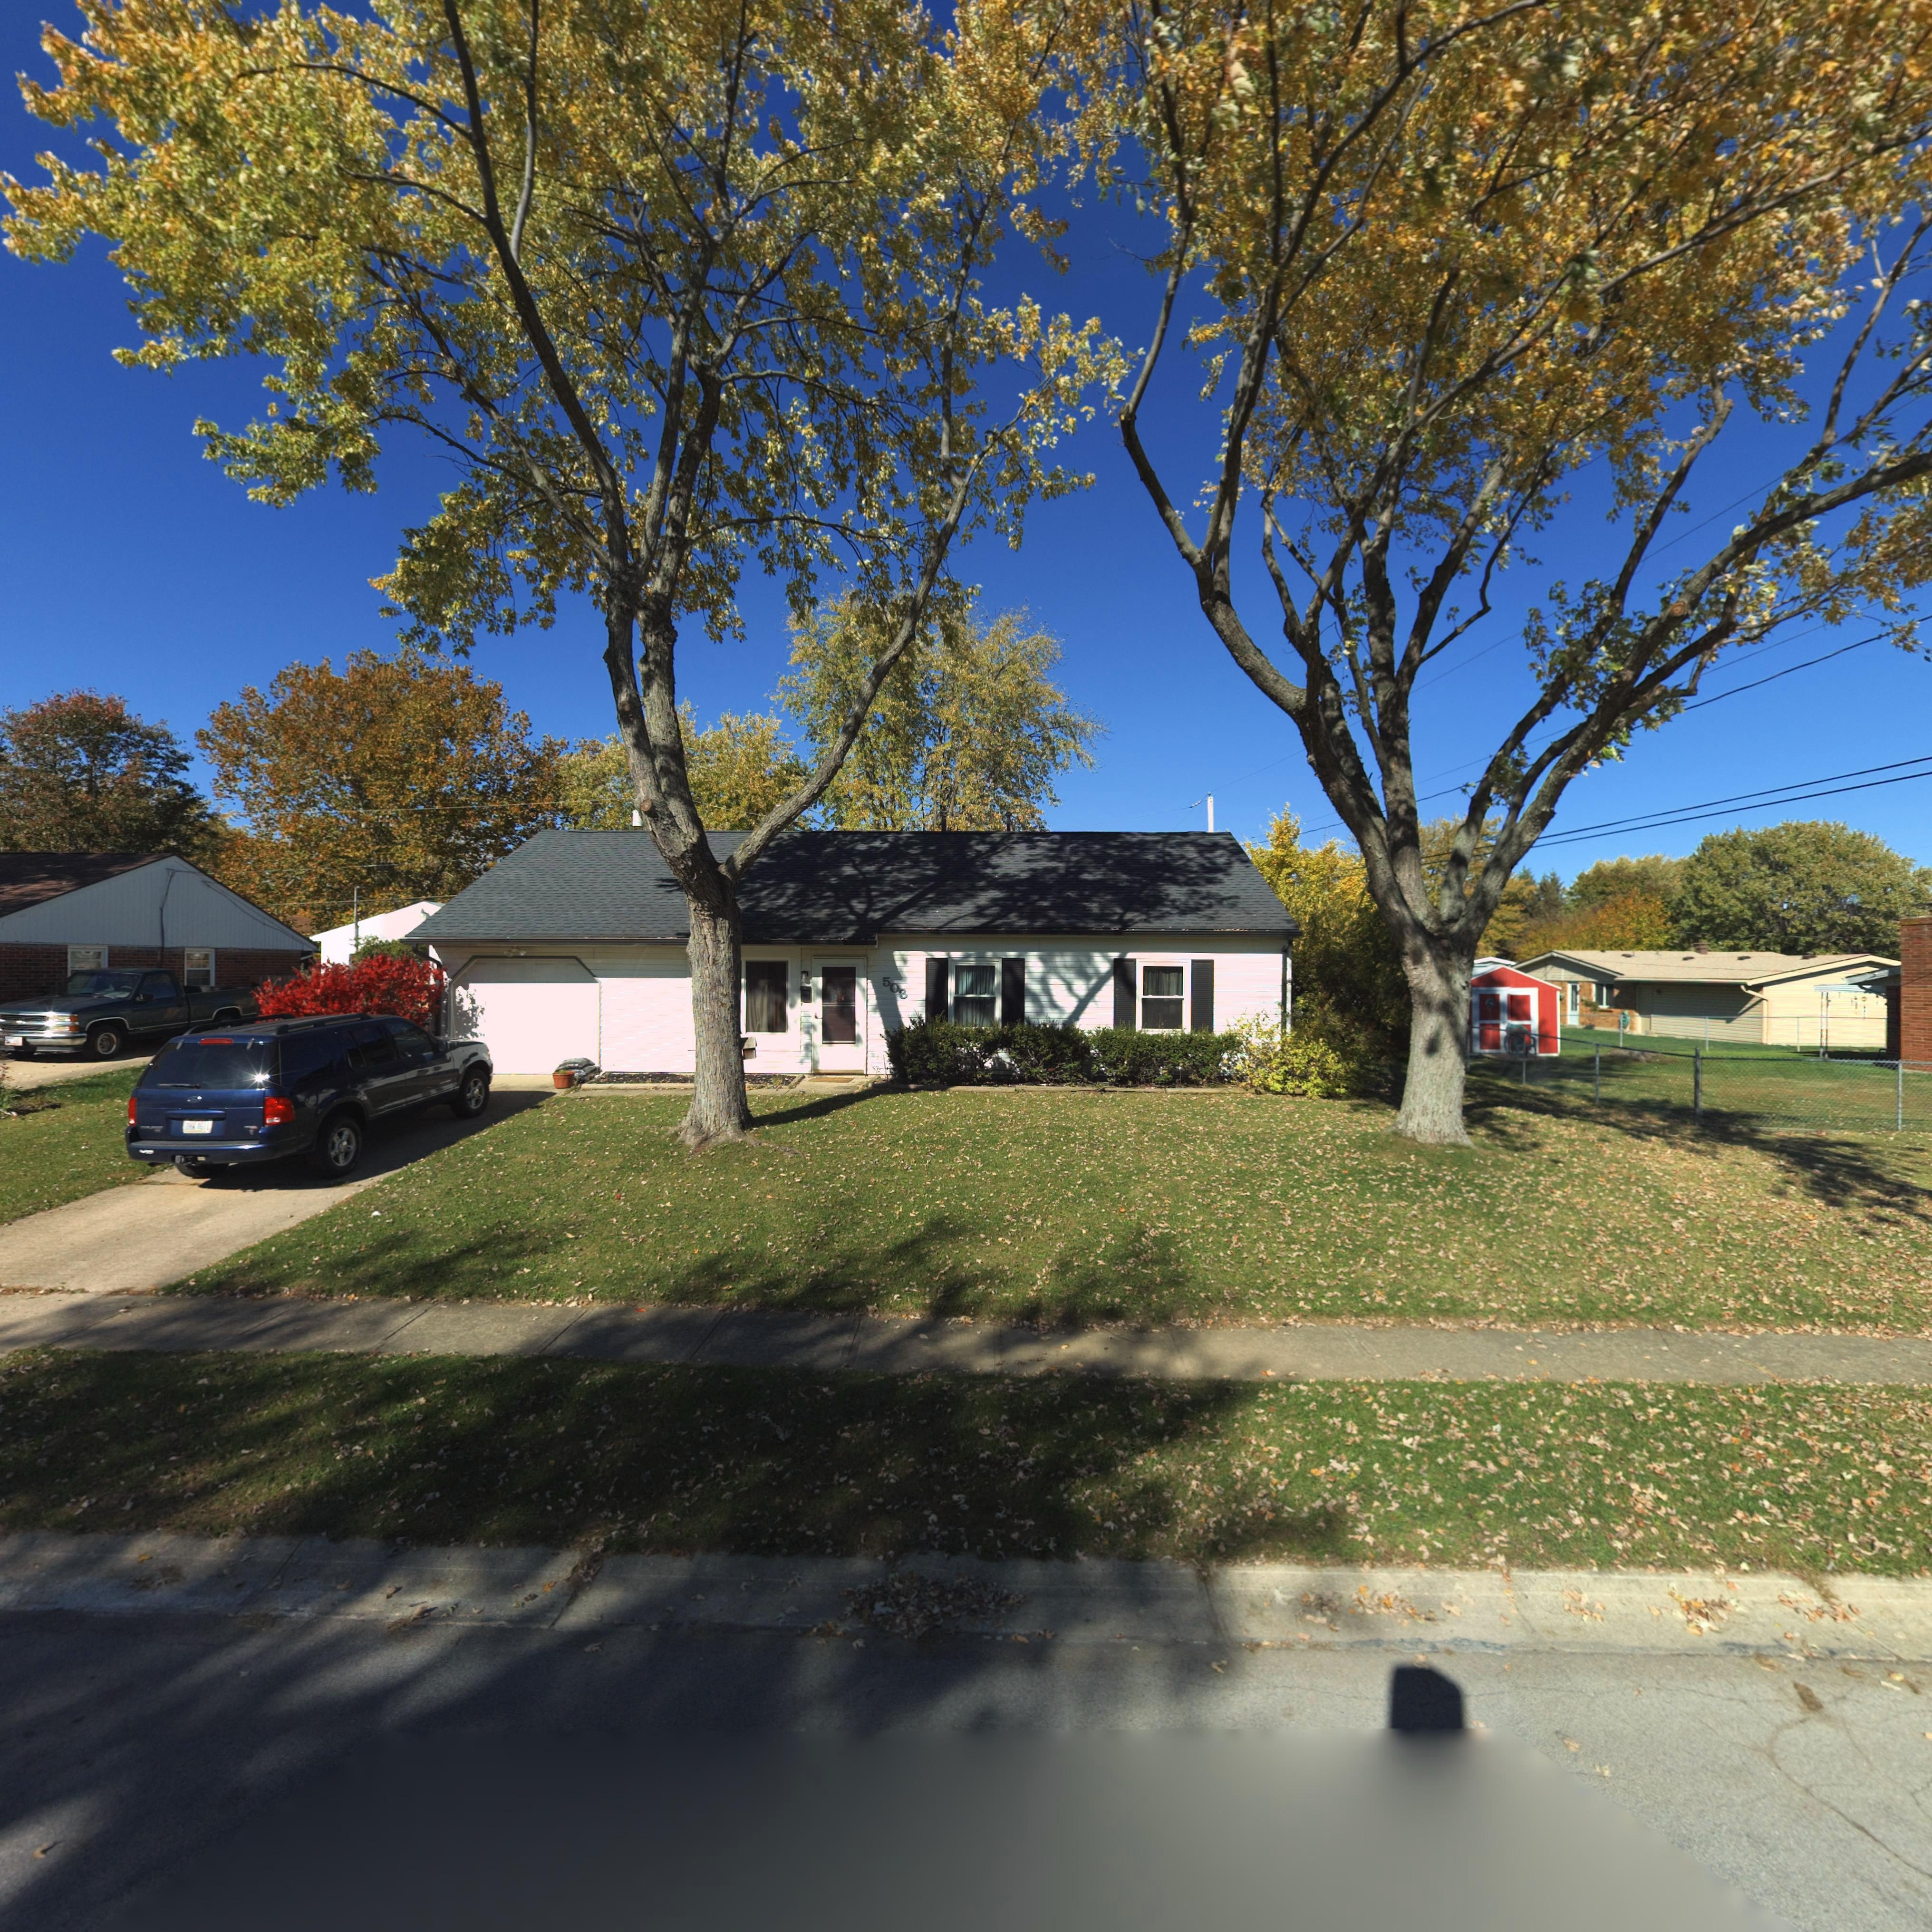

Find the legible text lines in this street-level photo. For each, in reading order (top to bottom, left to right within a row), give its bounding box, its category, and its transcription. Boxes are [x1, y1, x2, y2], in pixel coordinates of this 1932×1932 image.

[882, 976, 908, 1000] StreetNumber: 503